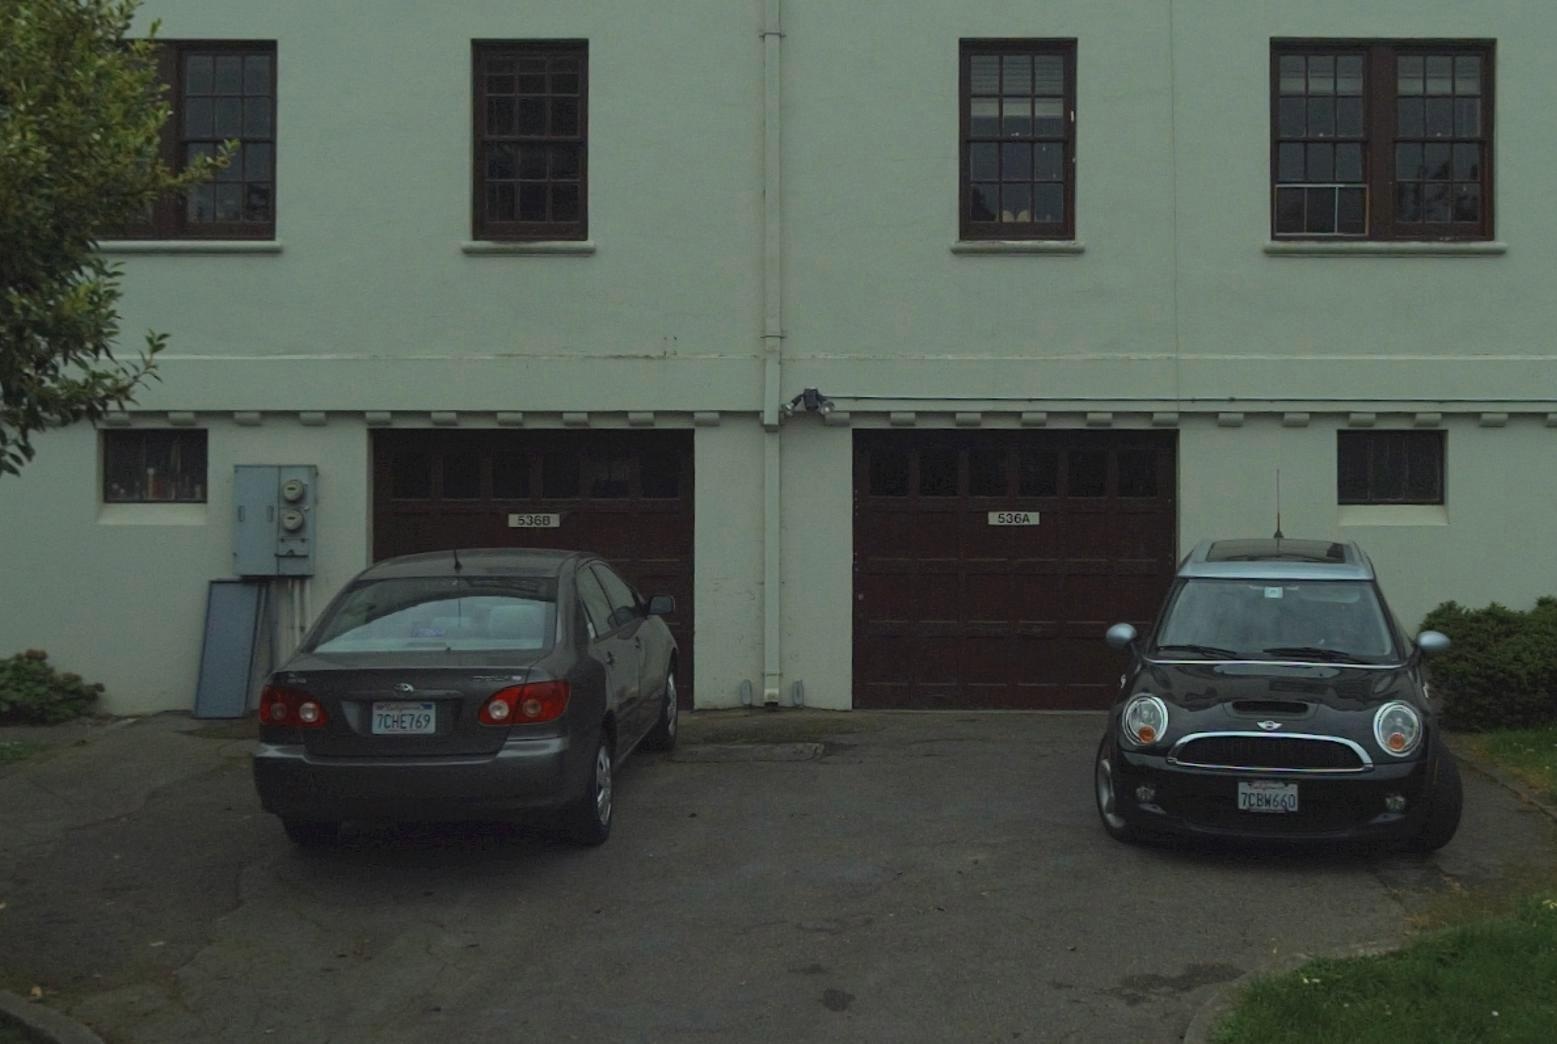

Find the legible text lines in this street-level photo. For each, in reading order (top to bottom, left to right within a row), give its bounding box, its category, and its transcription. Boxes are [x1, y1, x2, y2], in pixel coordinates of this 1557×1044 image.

[517, 514, 551, 527] StreetNumber: 536B
[997, 512, 1031, 524] StreetNumber: 536A
[376, 713, 432, 730] None: 7CHE769
[1239, 791, 1296, 809] None: 7CBW660